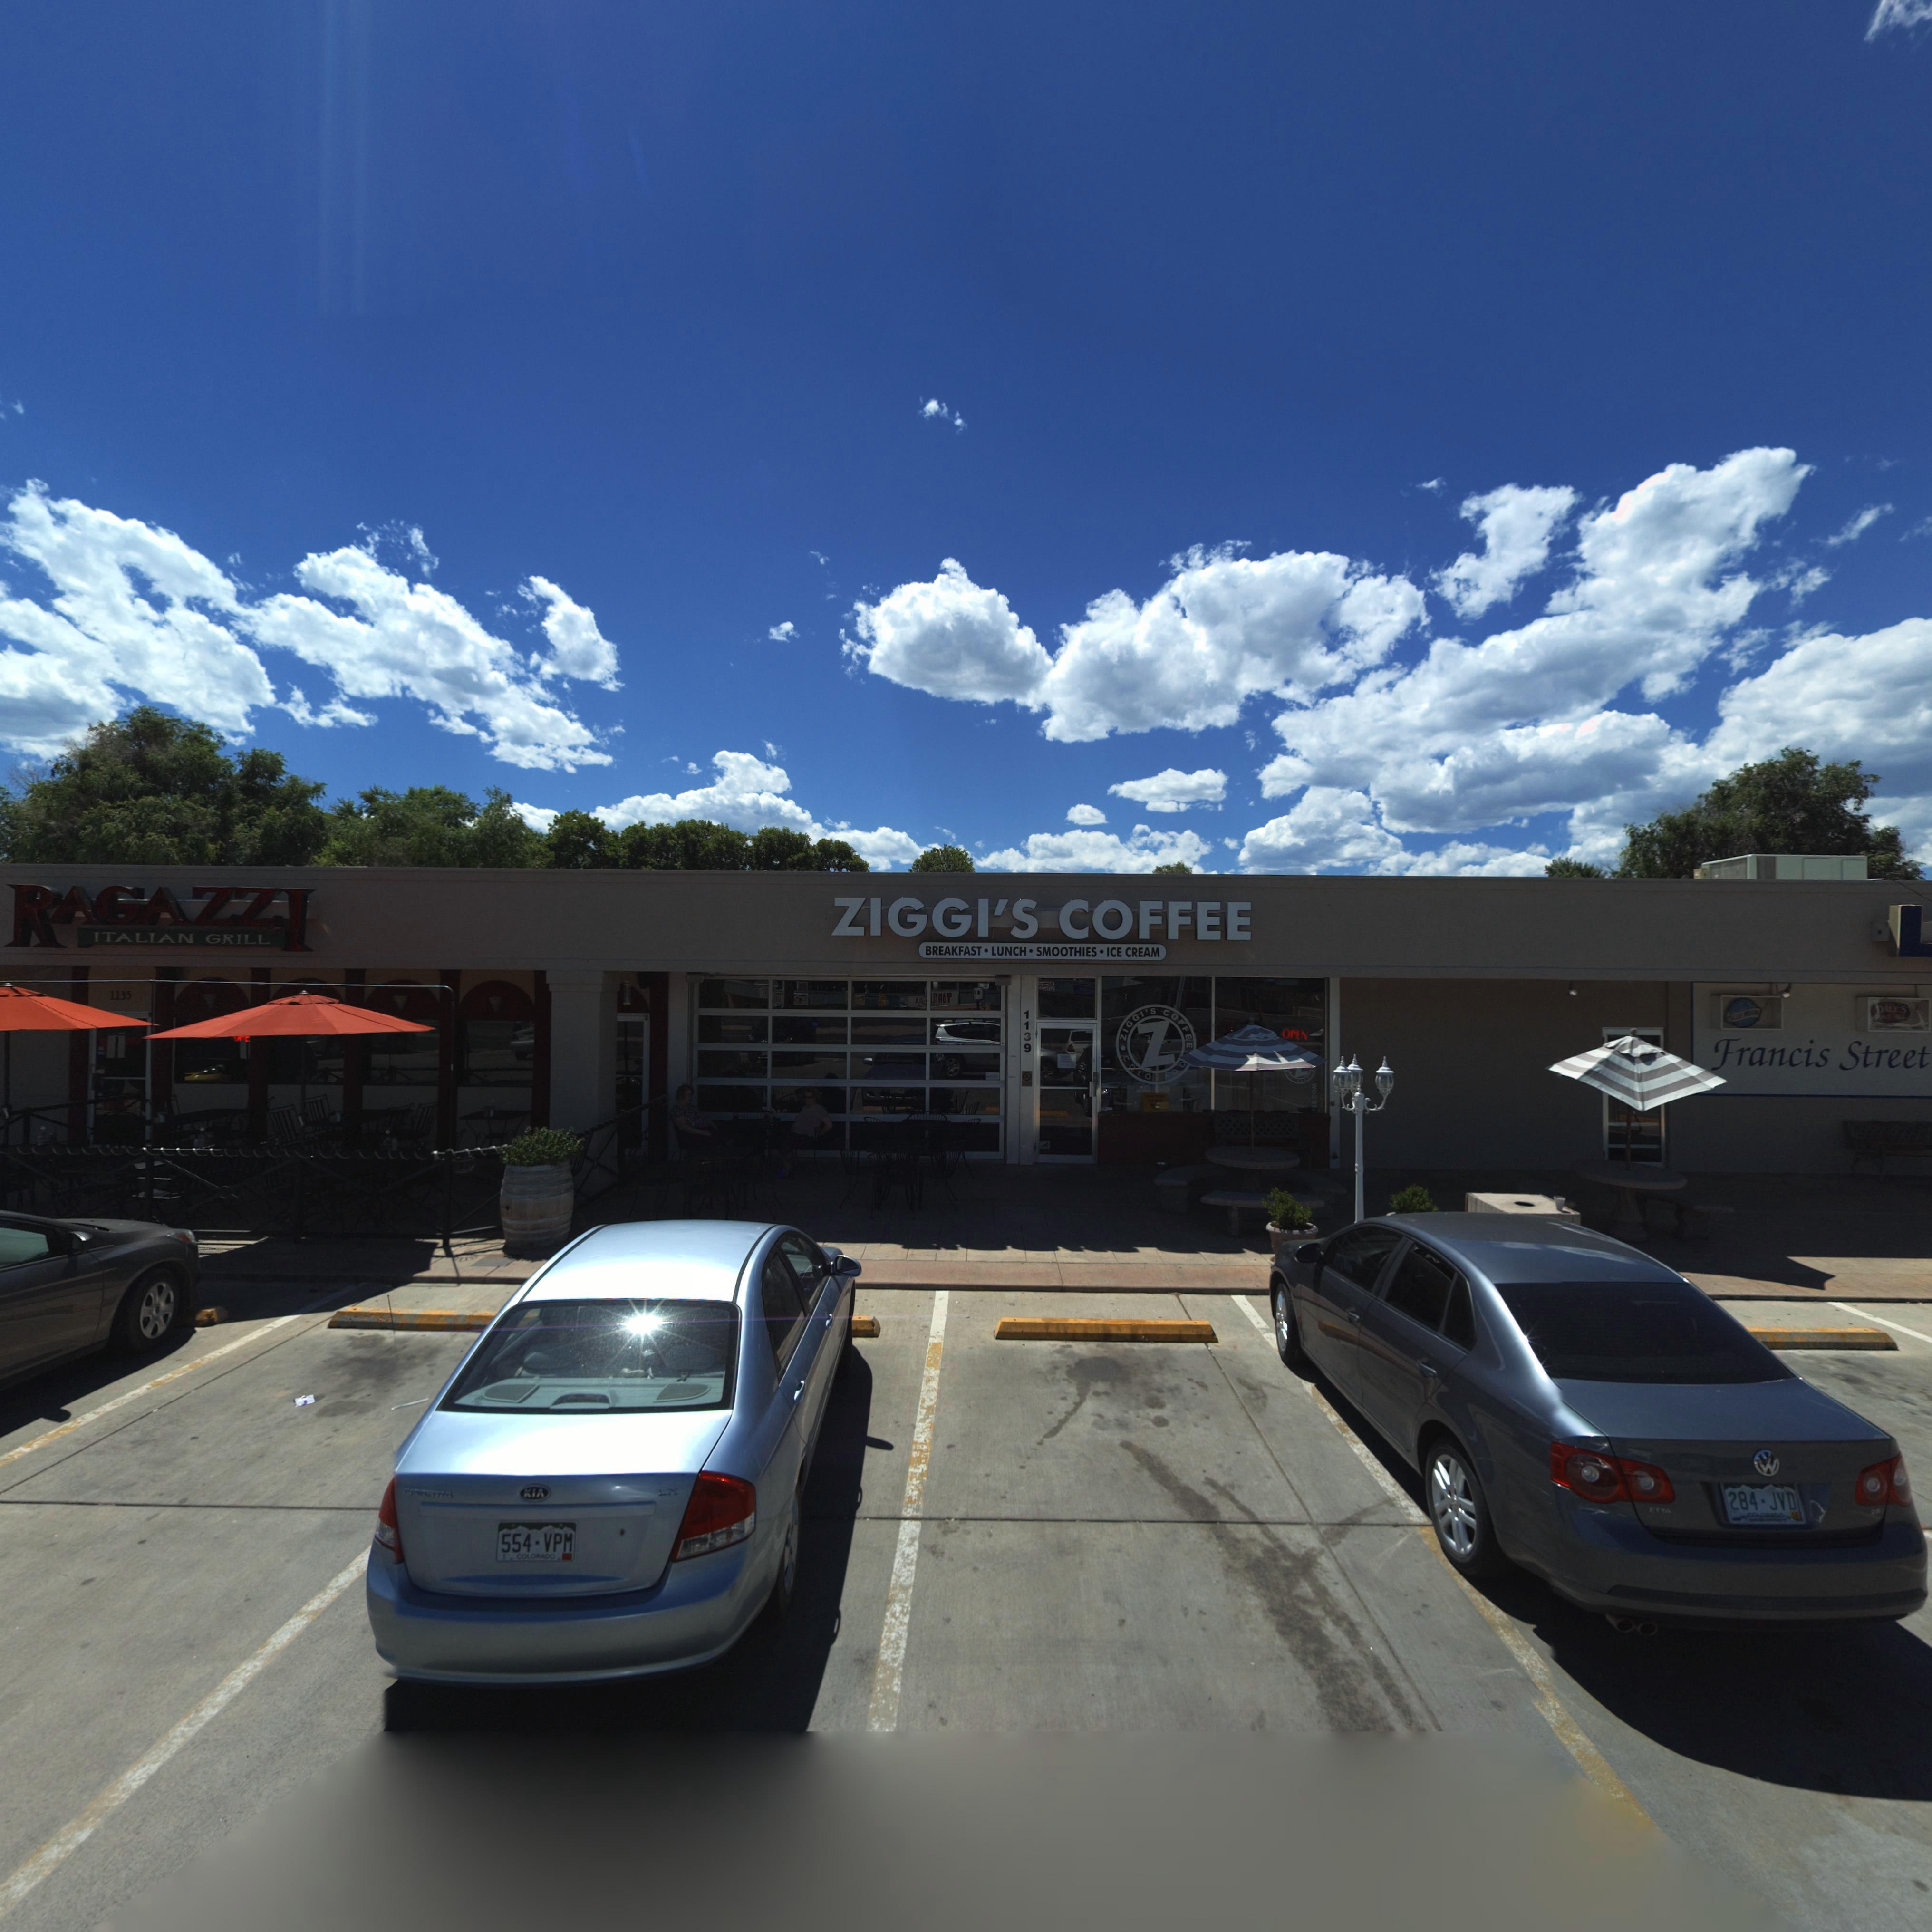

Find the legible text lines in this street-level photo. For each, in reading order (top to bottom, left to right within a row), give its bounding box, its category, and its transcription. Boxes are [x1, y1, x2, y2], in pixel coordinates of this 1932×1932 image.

[3, 882, 317, 952] BusinessName: RAGAZZI
[92, 931, 271, 944] BusinessName: ITALIAN GRILL
[830, 897, 1252, 941] BusinessName: ZIGGI*S COFFEE
[109, 989, 133, 1000] StreetNumber: 1135
[1023, 1009, 1031, 1053] StreetNumber: 1139
[1119, 1007, 1193, 1049] BusinessName: ZIGGI*S COFFE
[1709, 1036, 1931, 1072] BusinessName: Francis Street